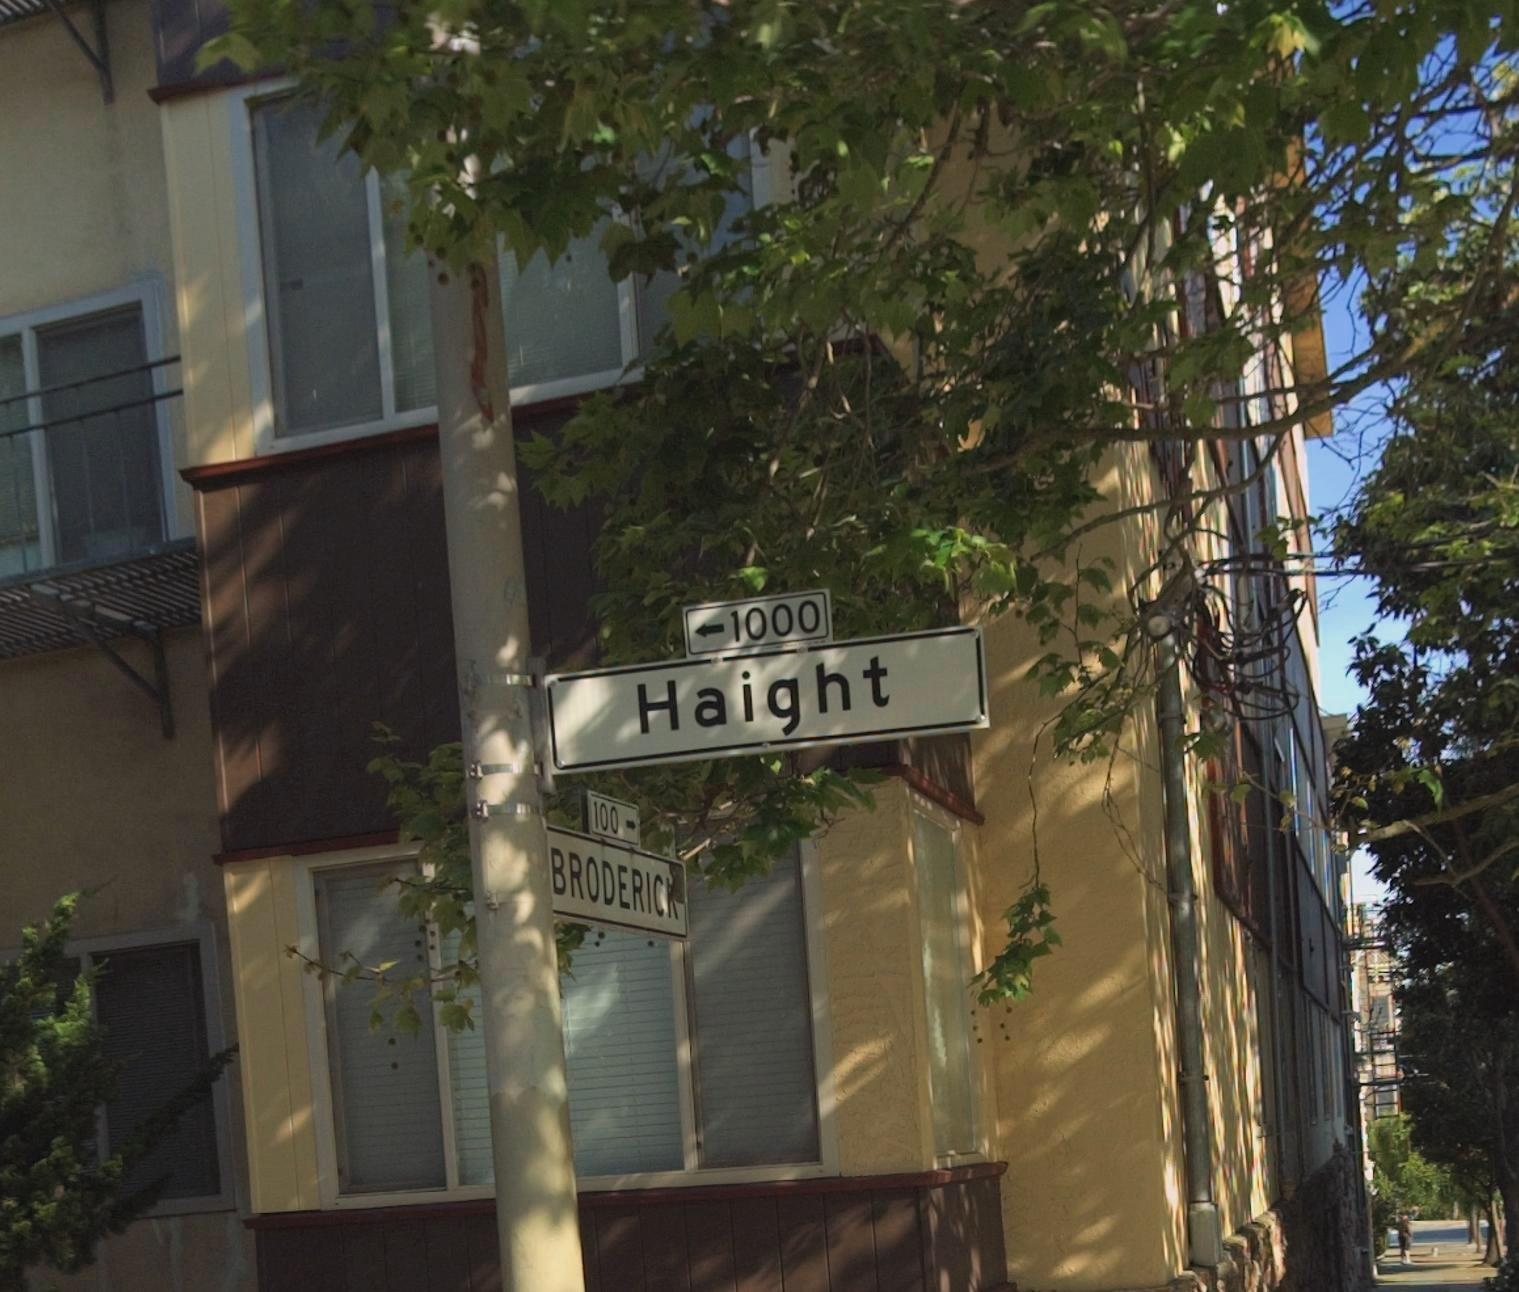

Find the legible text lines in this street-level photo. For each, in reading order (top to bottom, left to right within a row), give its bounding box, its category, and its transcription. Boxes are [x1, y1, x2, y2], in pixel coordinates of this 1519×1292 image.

[688, 595, 825, 651] StreetNumberRange: <-1000
[631, 648, 902, 743] StreetName: Haight
[590, 796, 640, 844] StreetNumberRange: 100->
[547, 844, 679, 925] StreetName: BRODERICK